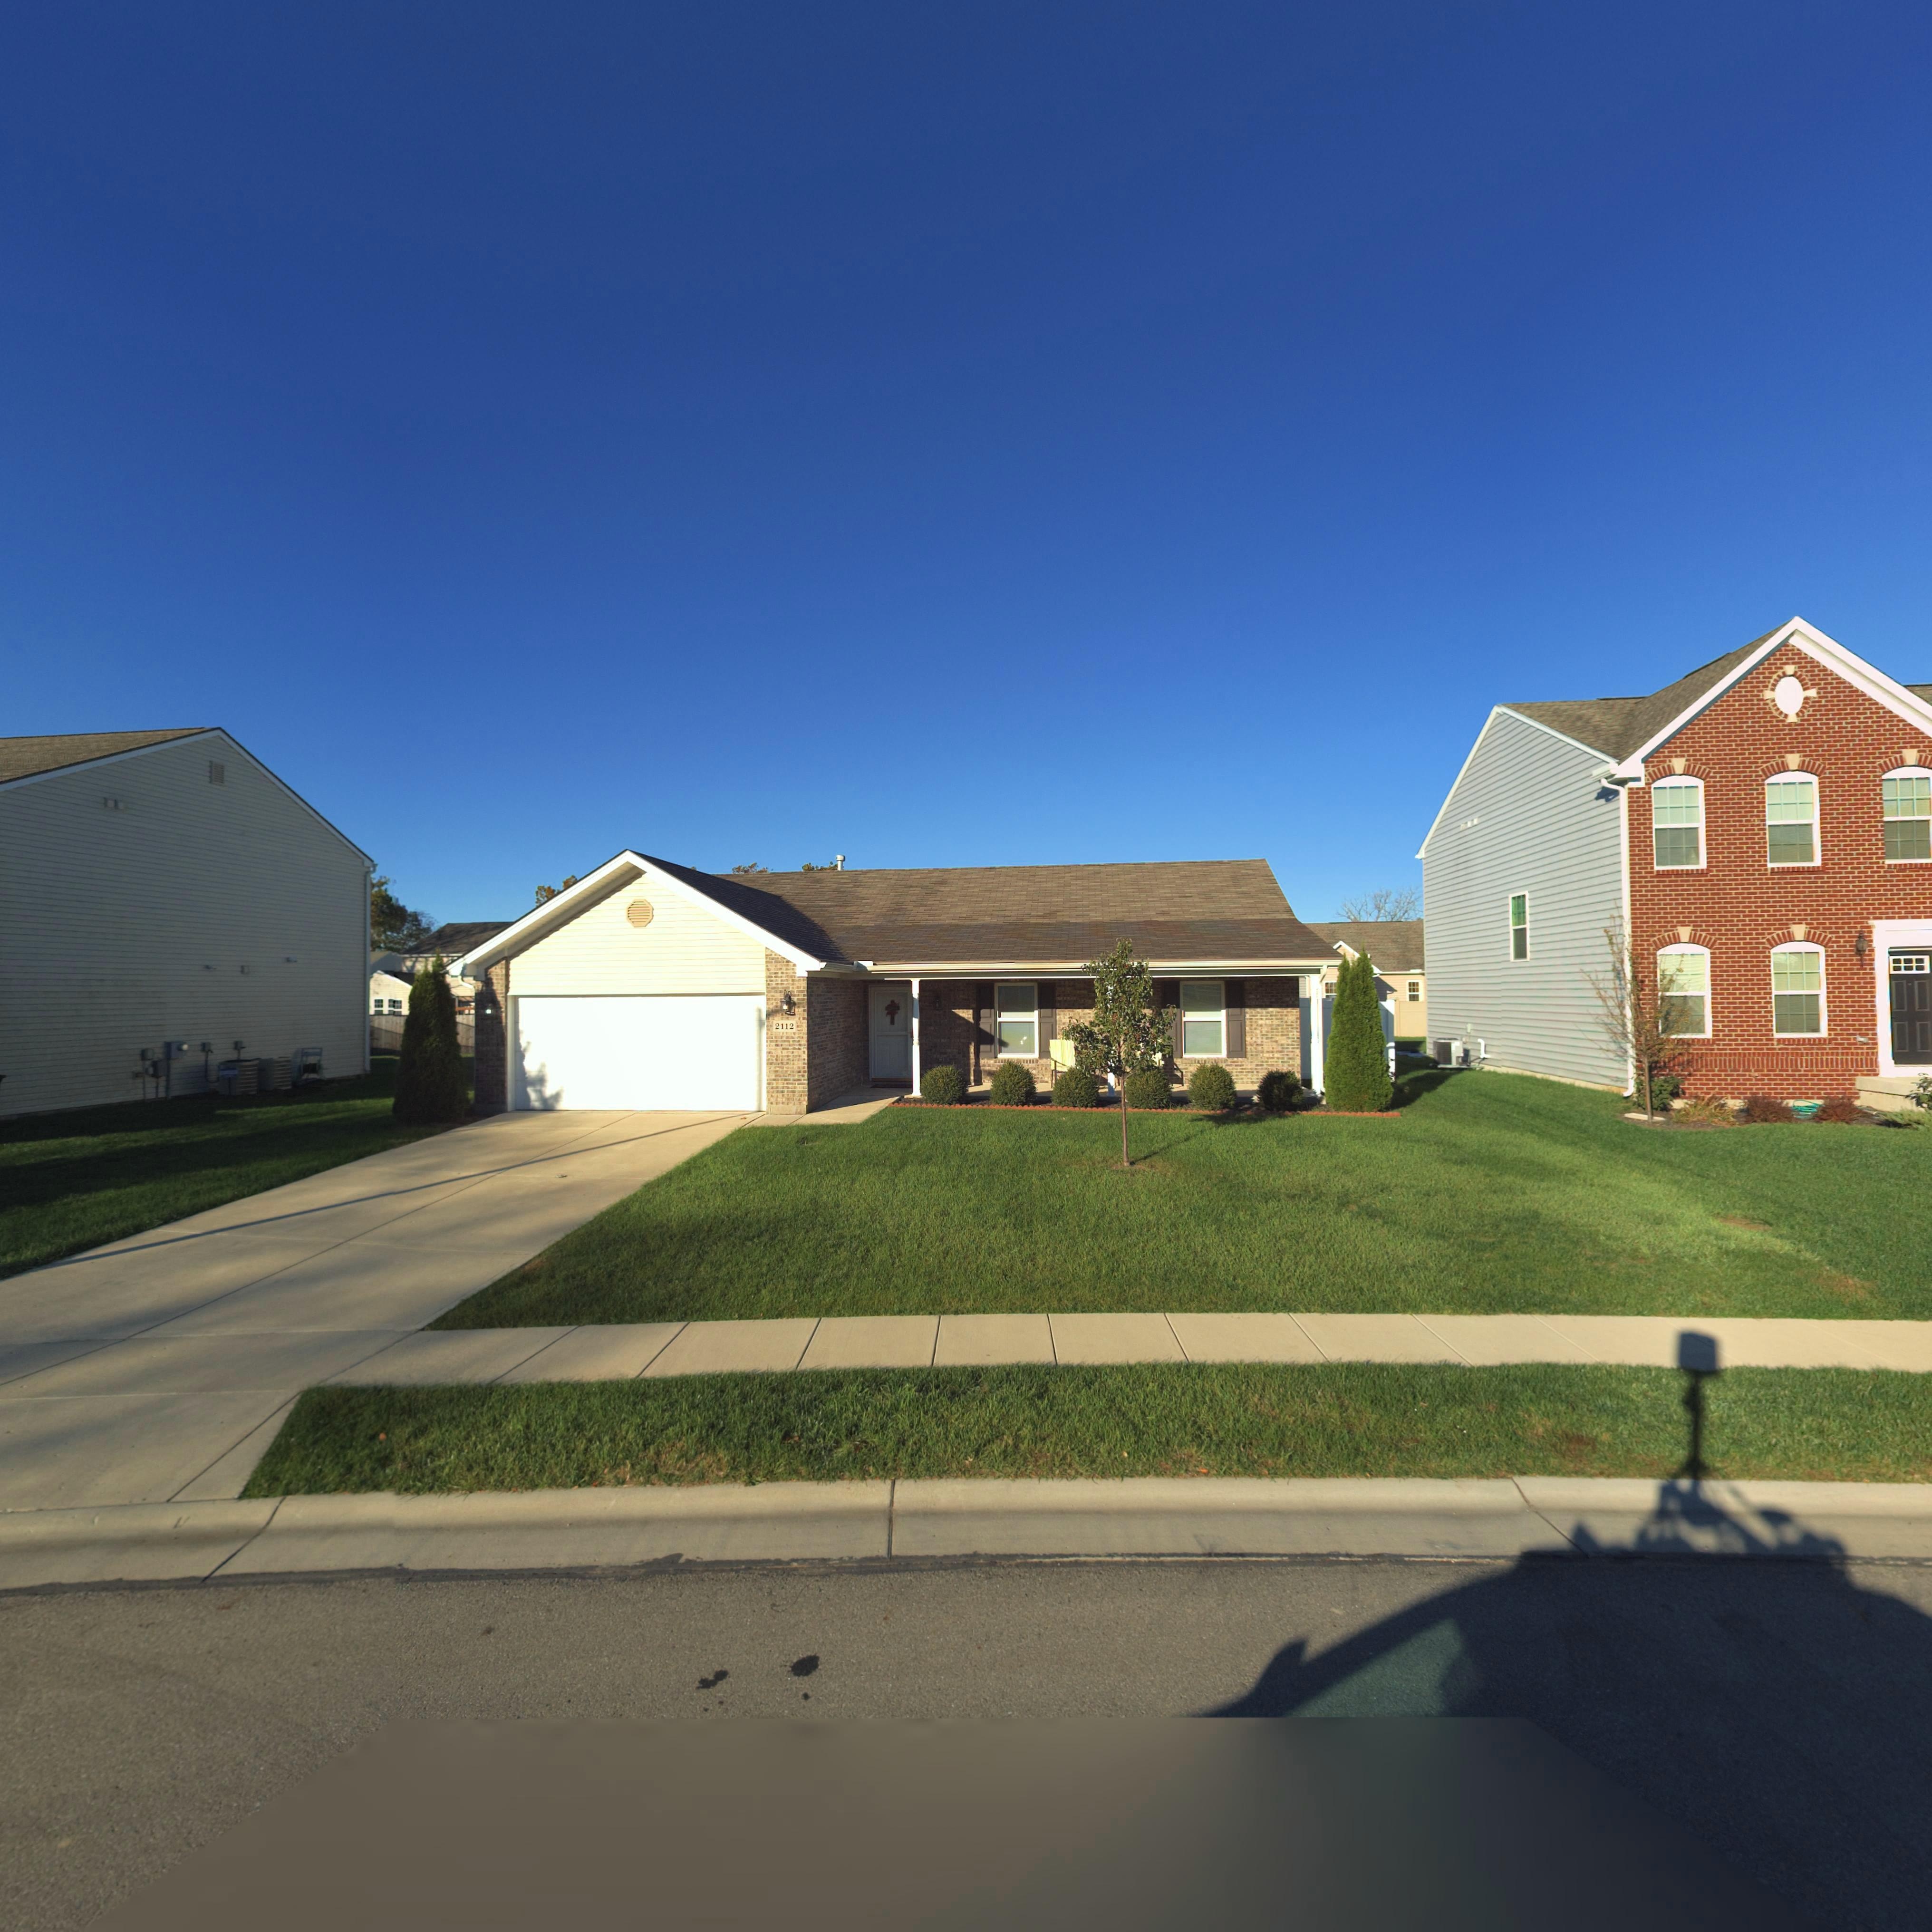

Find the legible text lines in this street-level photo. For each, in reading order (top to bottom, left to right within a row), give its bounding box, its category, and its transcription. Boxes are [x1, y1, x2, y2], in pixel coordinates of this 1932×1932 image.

[774, 1022, 794, 1030] StreetNumber: 2112